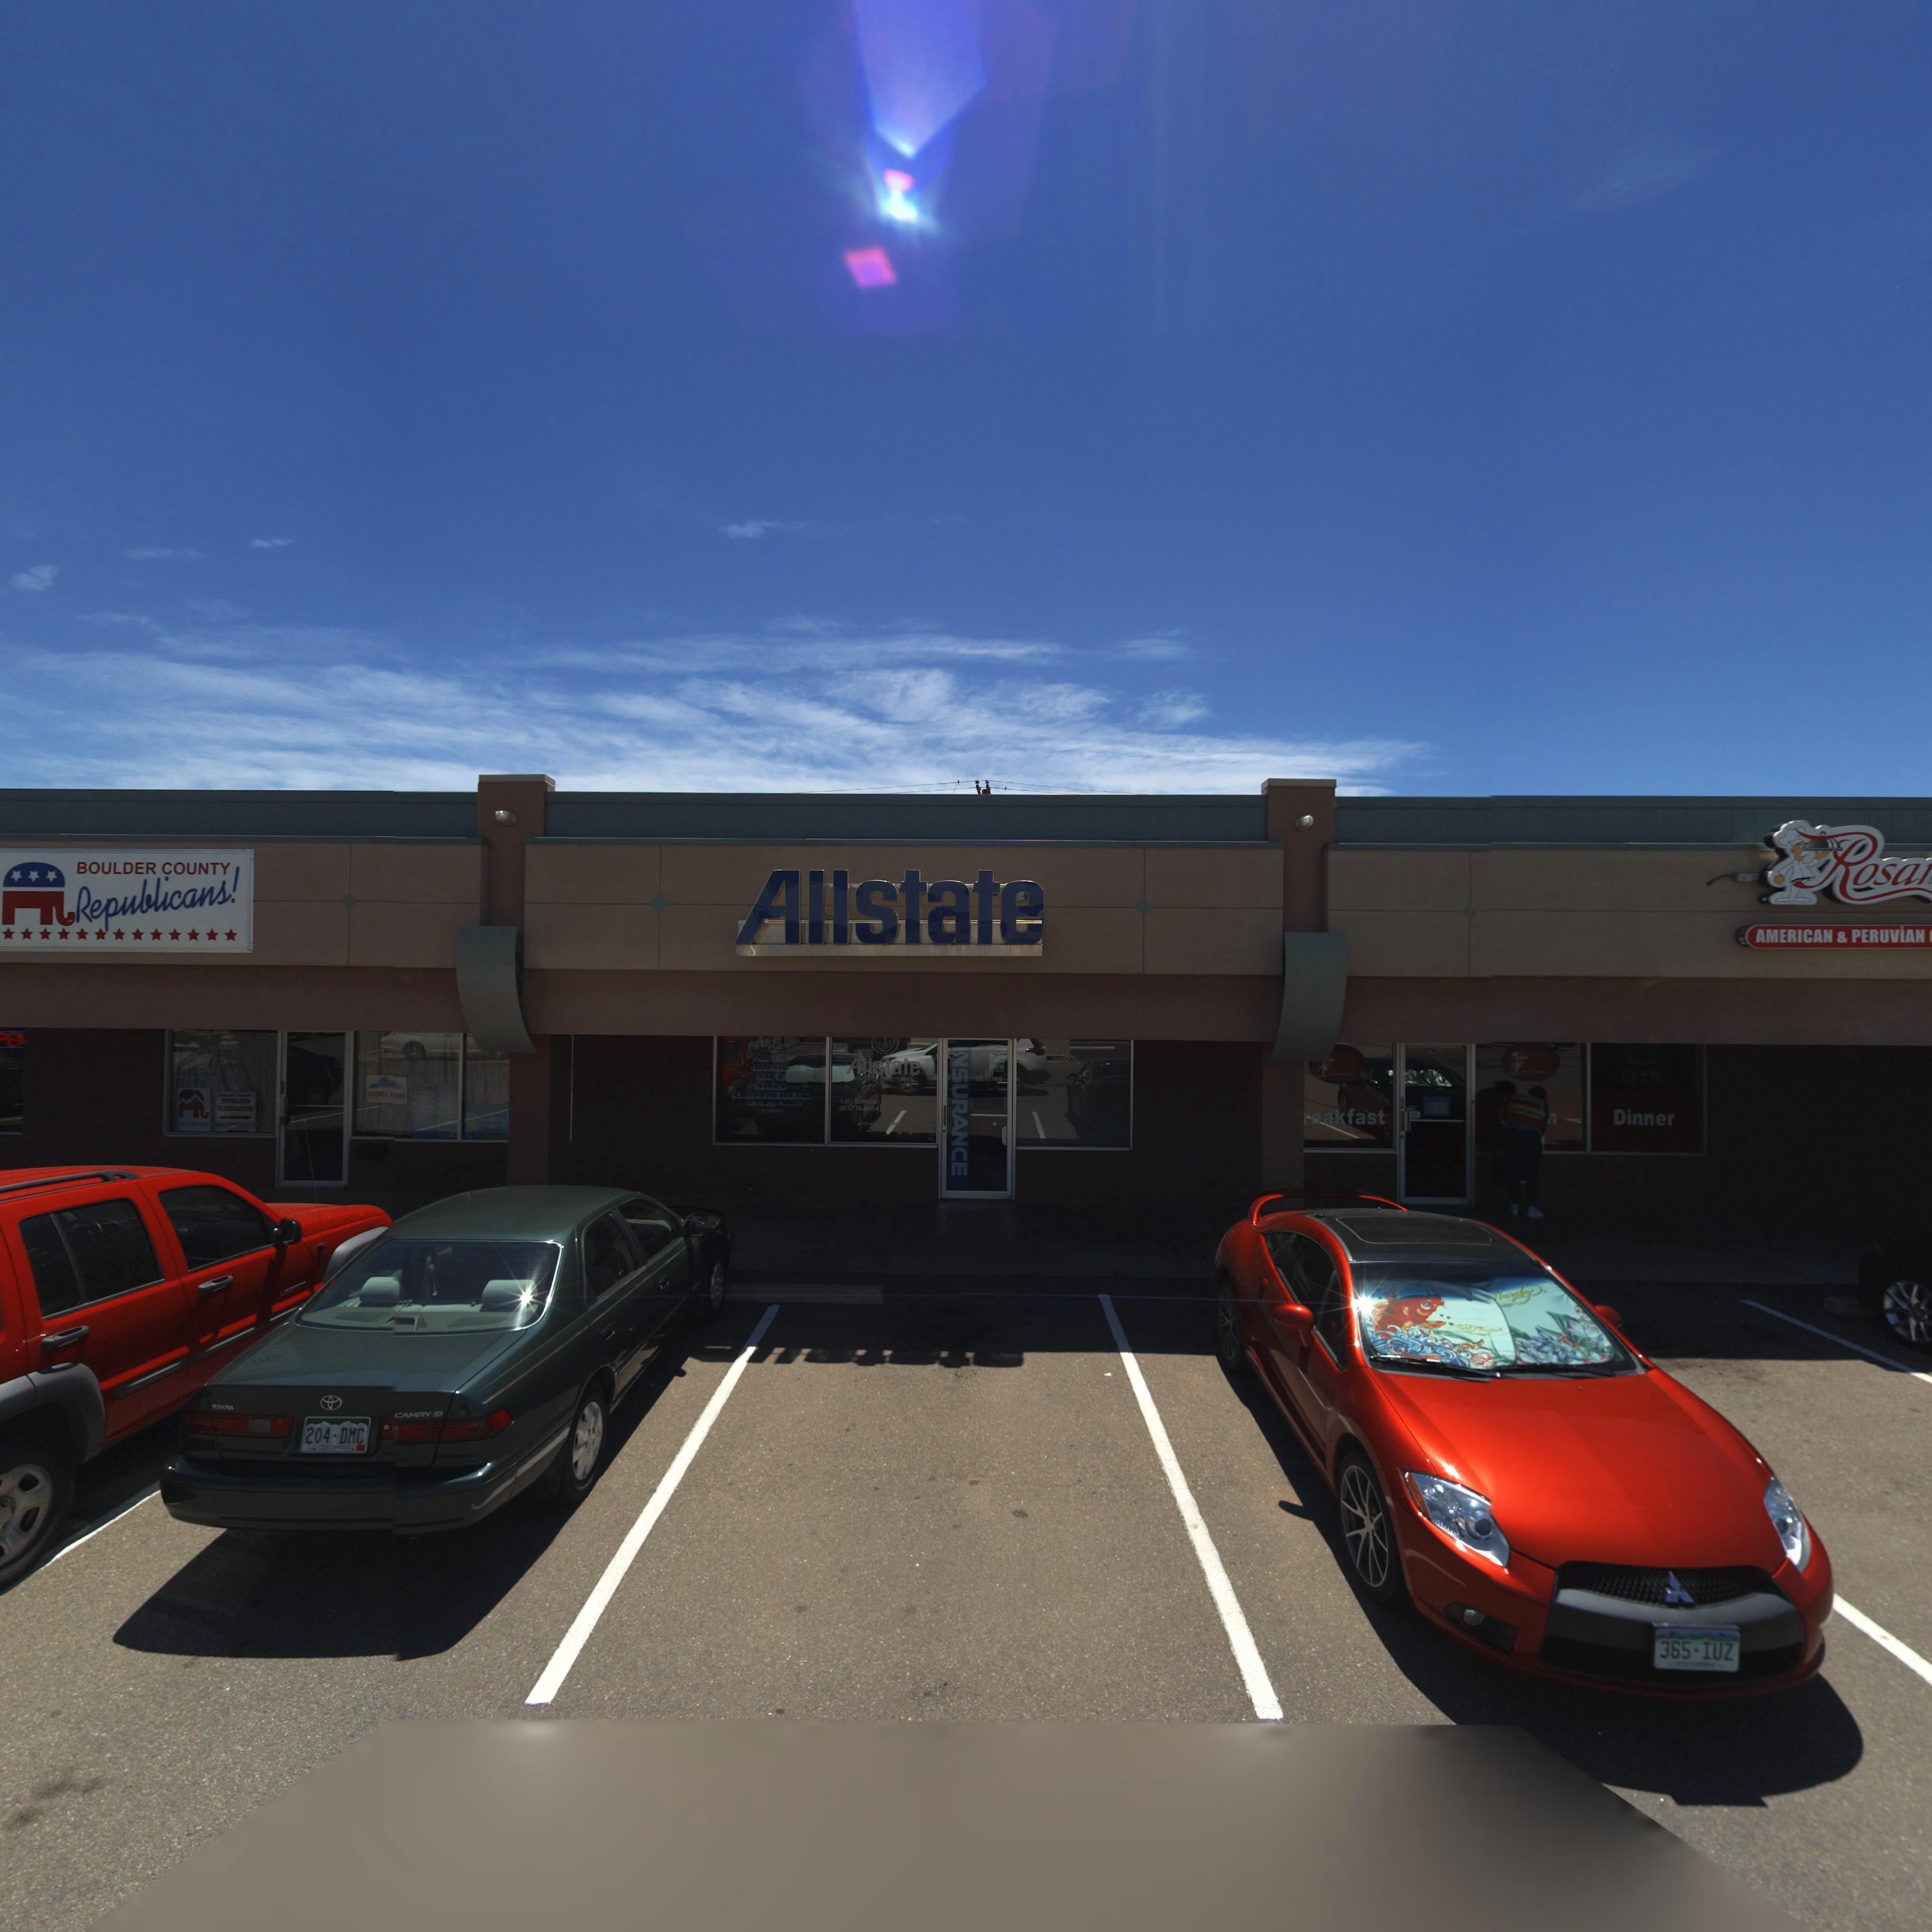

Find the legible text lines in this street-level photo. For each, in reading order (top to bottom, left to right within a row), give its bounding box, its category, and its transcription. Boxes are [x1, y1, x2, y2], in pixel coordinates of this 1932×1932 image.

[1791, 827, 1922, 890] BusinessName: Rosa
[730, 868, 1045, 946] BusinessName: Allstate
[1753, 928, 1925, 943] BusinessName: AMERICAN * PERUVIAN
[844, 1056, 921, 1076] BusinessName: Allstate